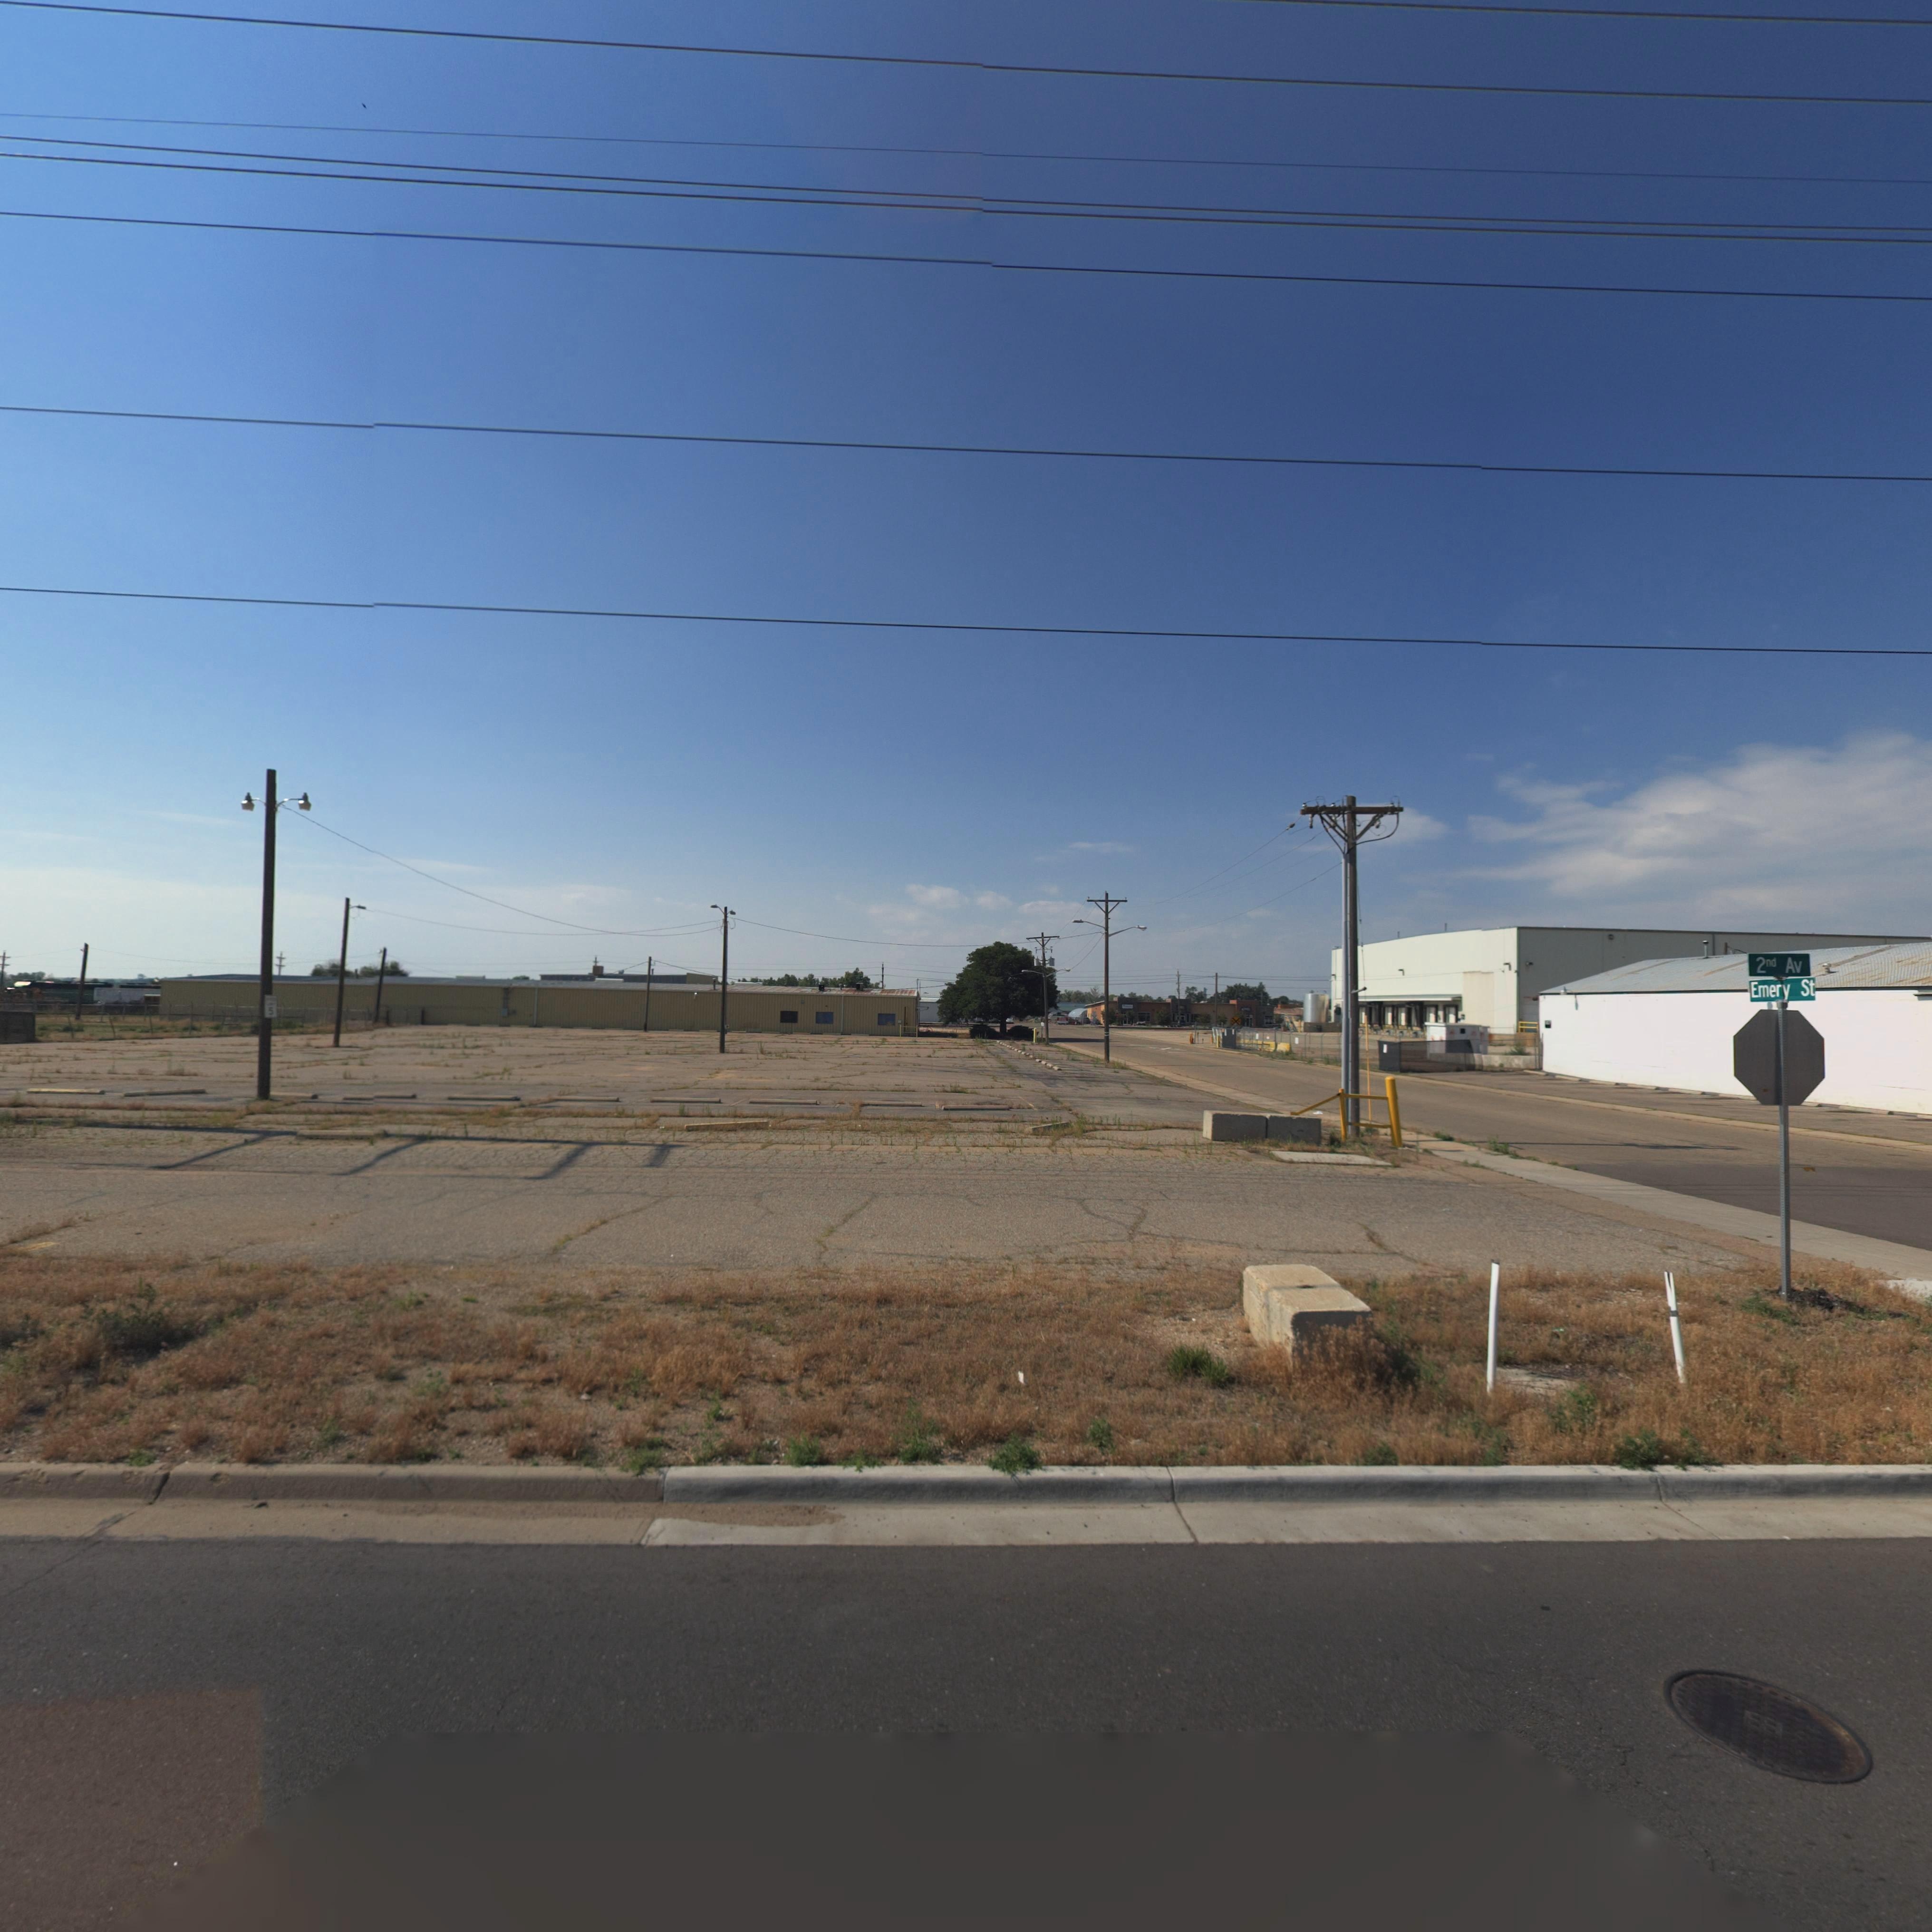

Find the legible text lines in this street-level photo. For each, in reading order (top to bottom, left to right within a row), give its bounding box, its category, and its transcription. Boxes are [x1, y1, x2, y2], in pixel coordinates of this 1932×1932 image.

[1755, 956, 1803, 974] StreetName: 2nd Av
[1750, 978, 1816, 1000] StreetName: Emery St